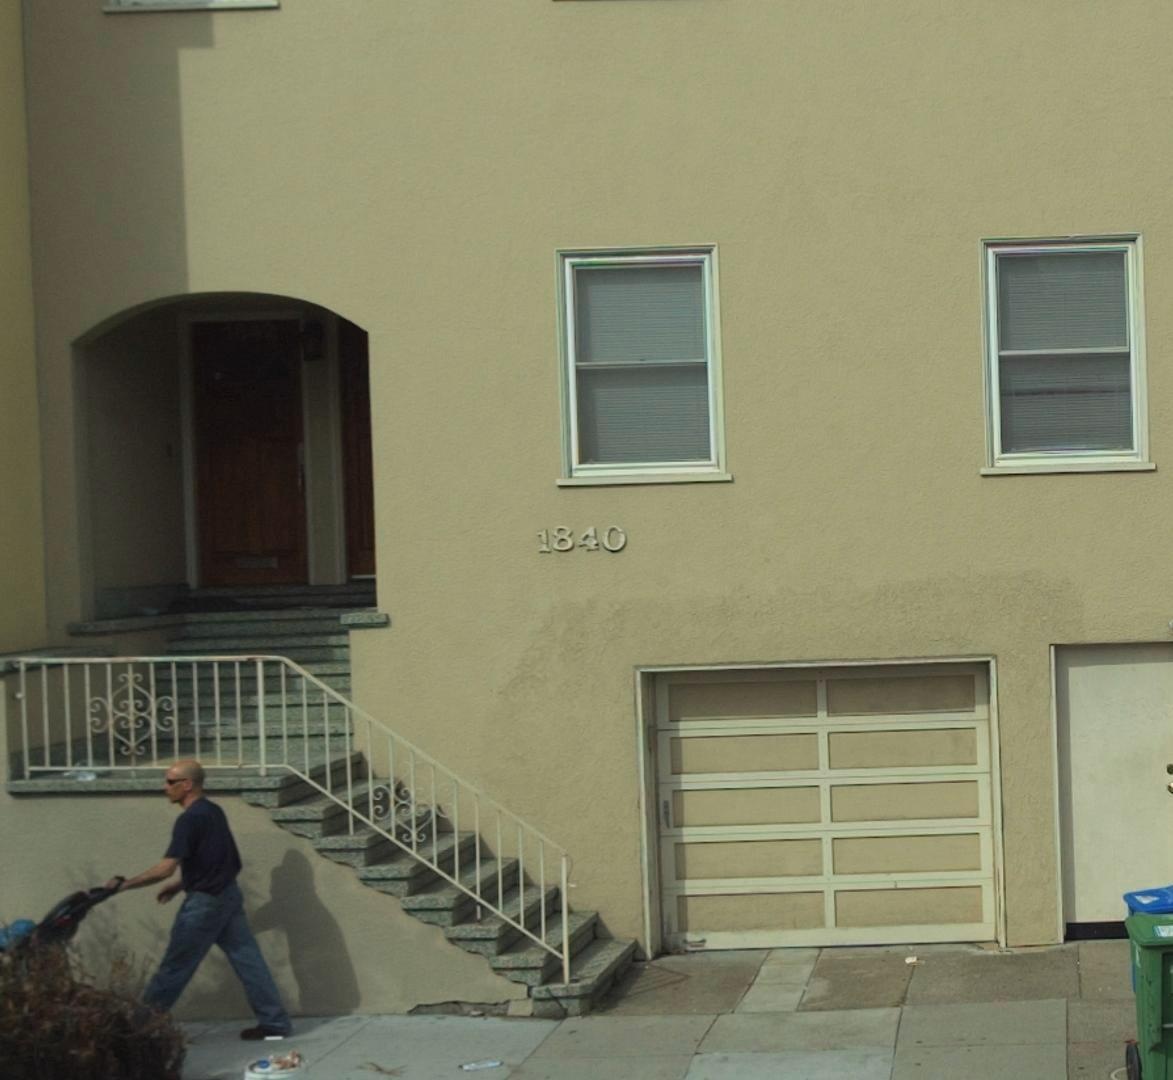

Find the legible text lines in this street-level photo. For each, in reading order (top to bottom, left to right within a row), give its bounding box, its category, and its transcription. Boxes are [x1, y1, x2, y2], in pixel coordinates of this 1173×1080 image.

[534, 522, 628, 556] StreetNumber: 1840